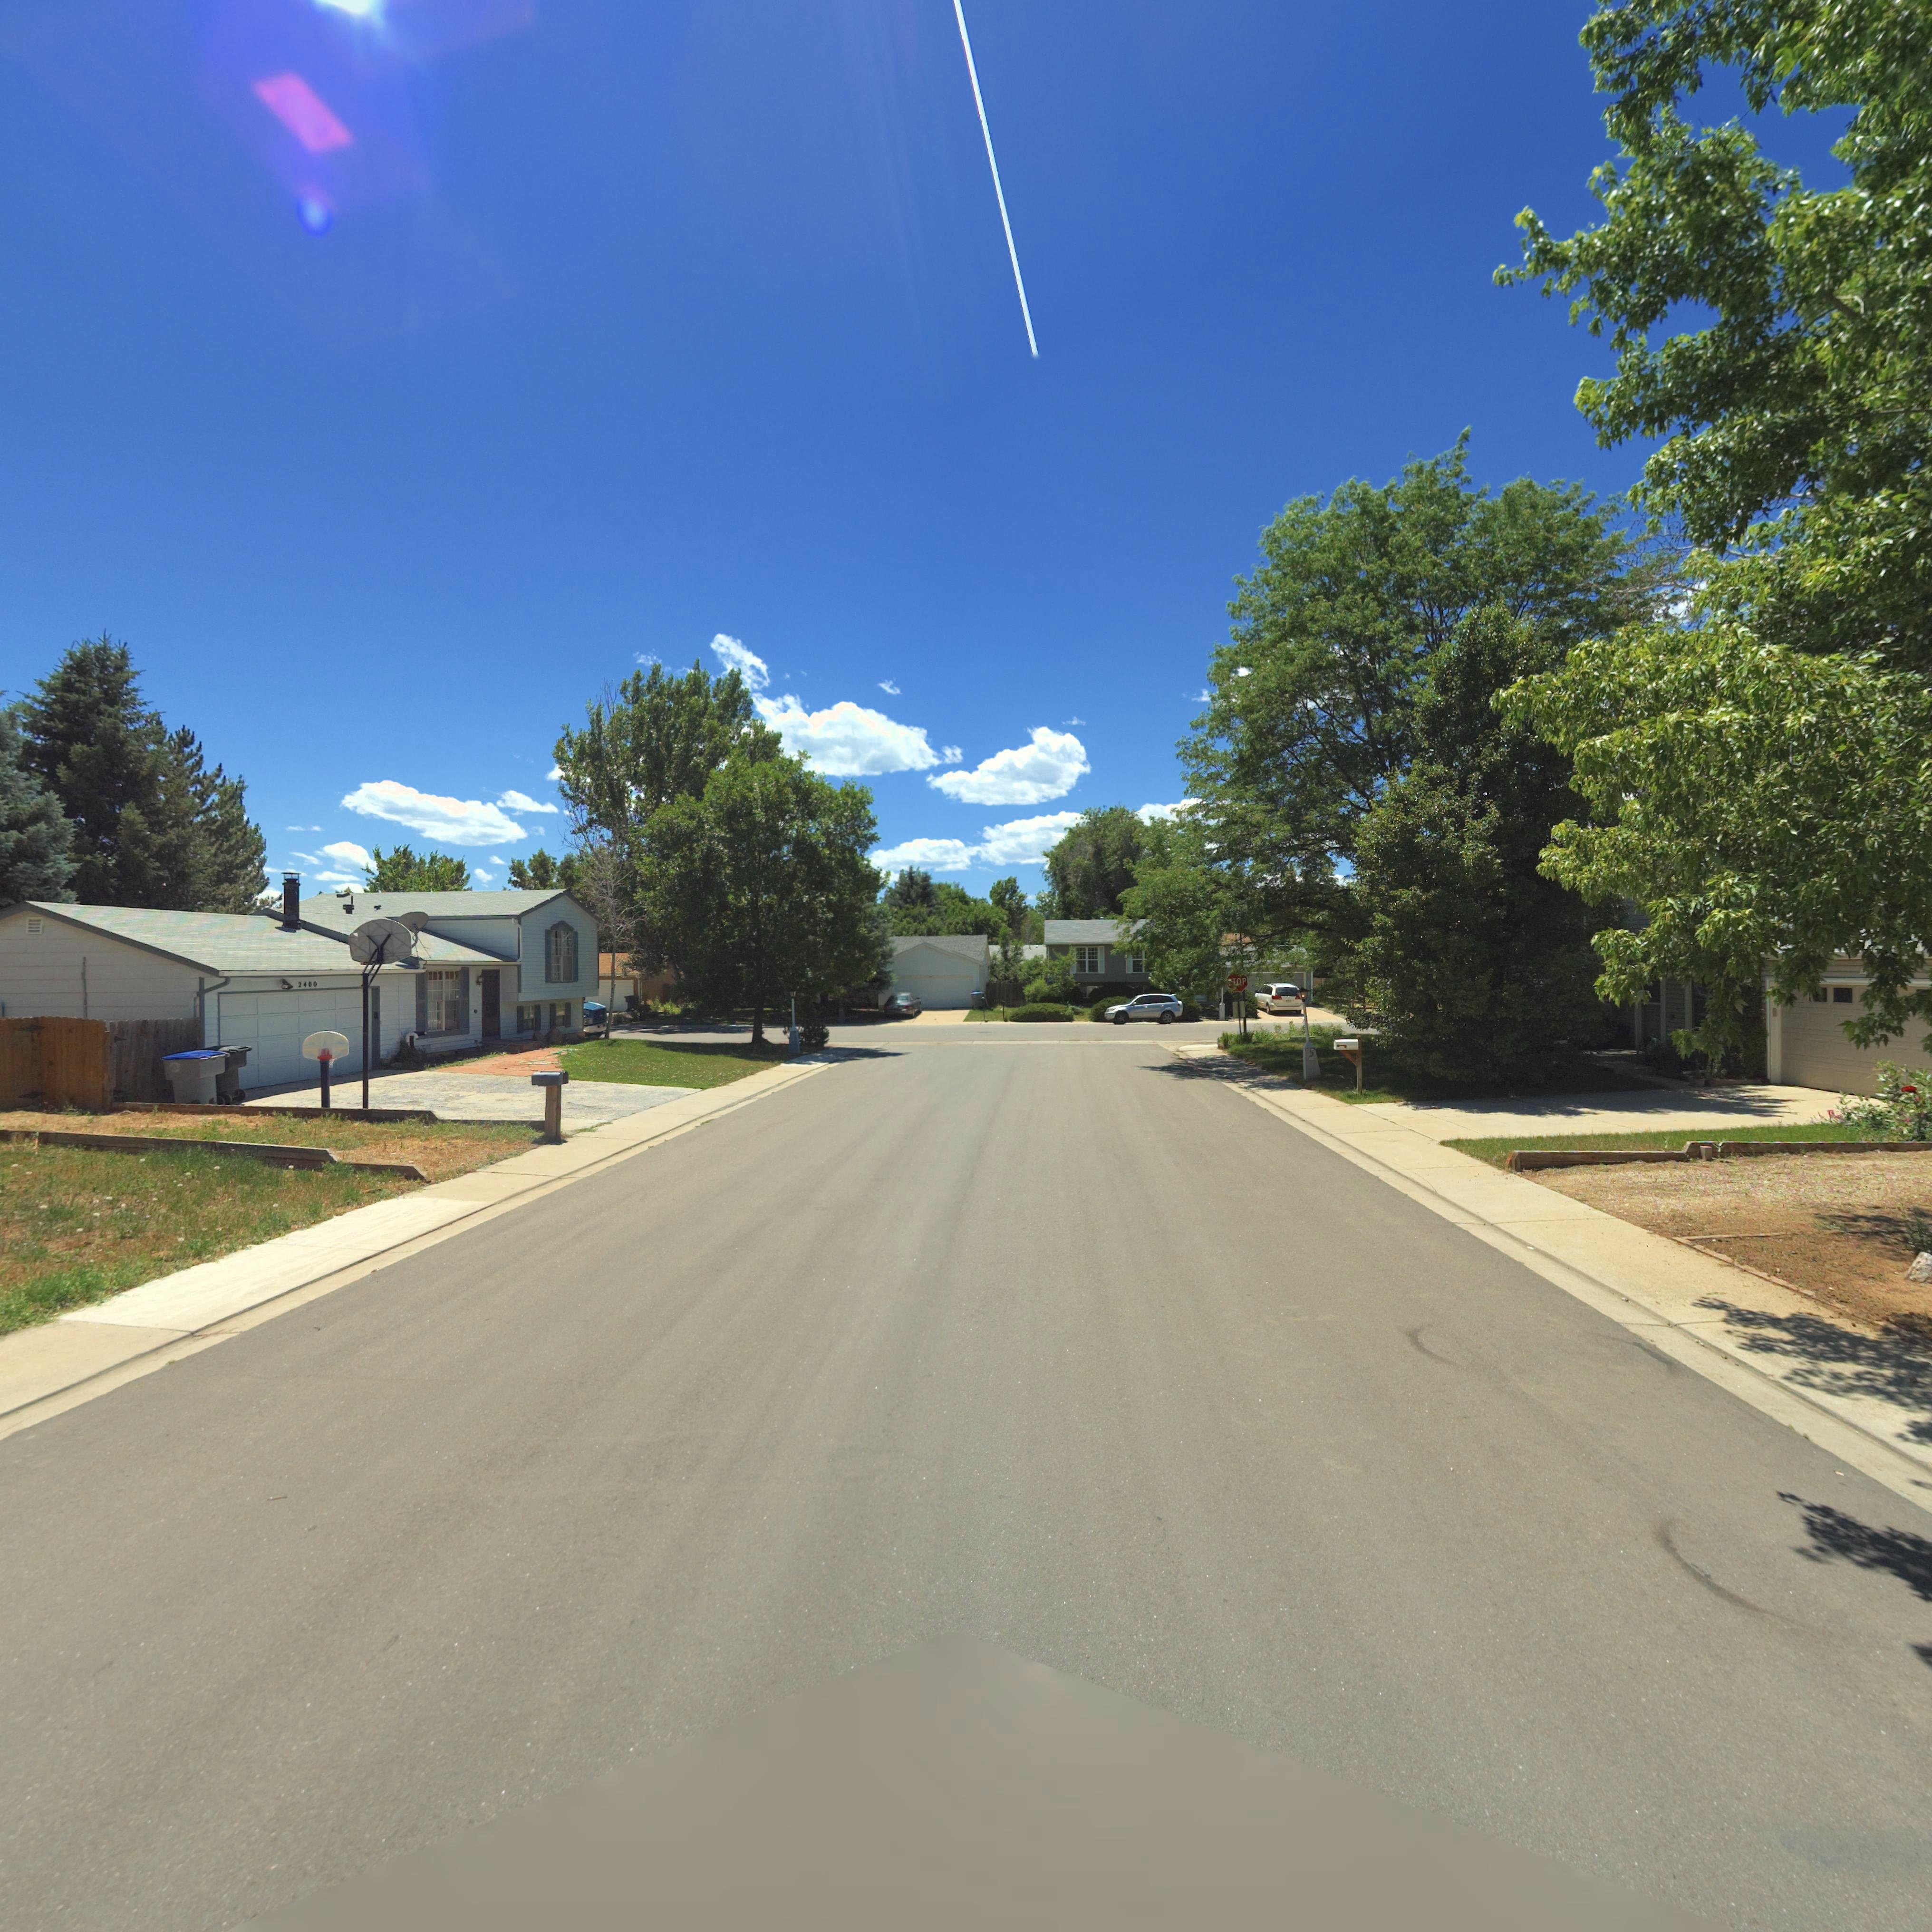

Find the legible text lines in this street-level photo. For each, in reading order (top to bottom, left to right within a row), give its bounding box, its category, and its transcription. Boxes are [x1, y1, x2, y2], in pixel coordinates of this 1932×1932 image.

[298, 981, 317, 988] StreetNumber: 2400